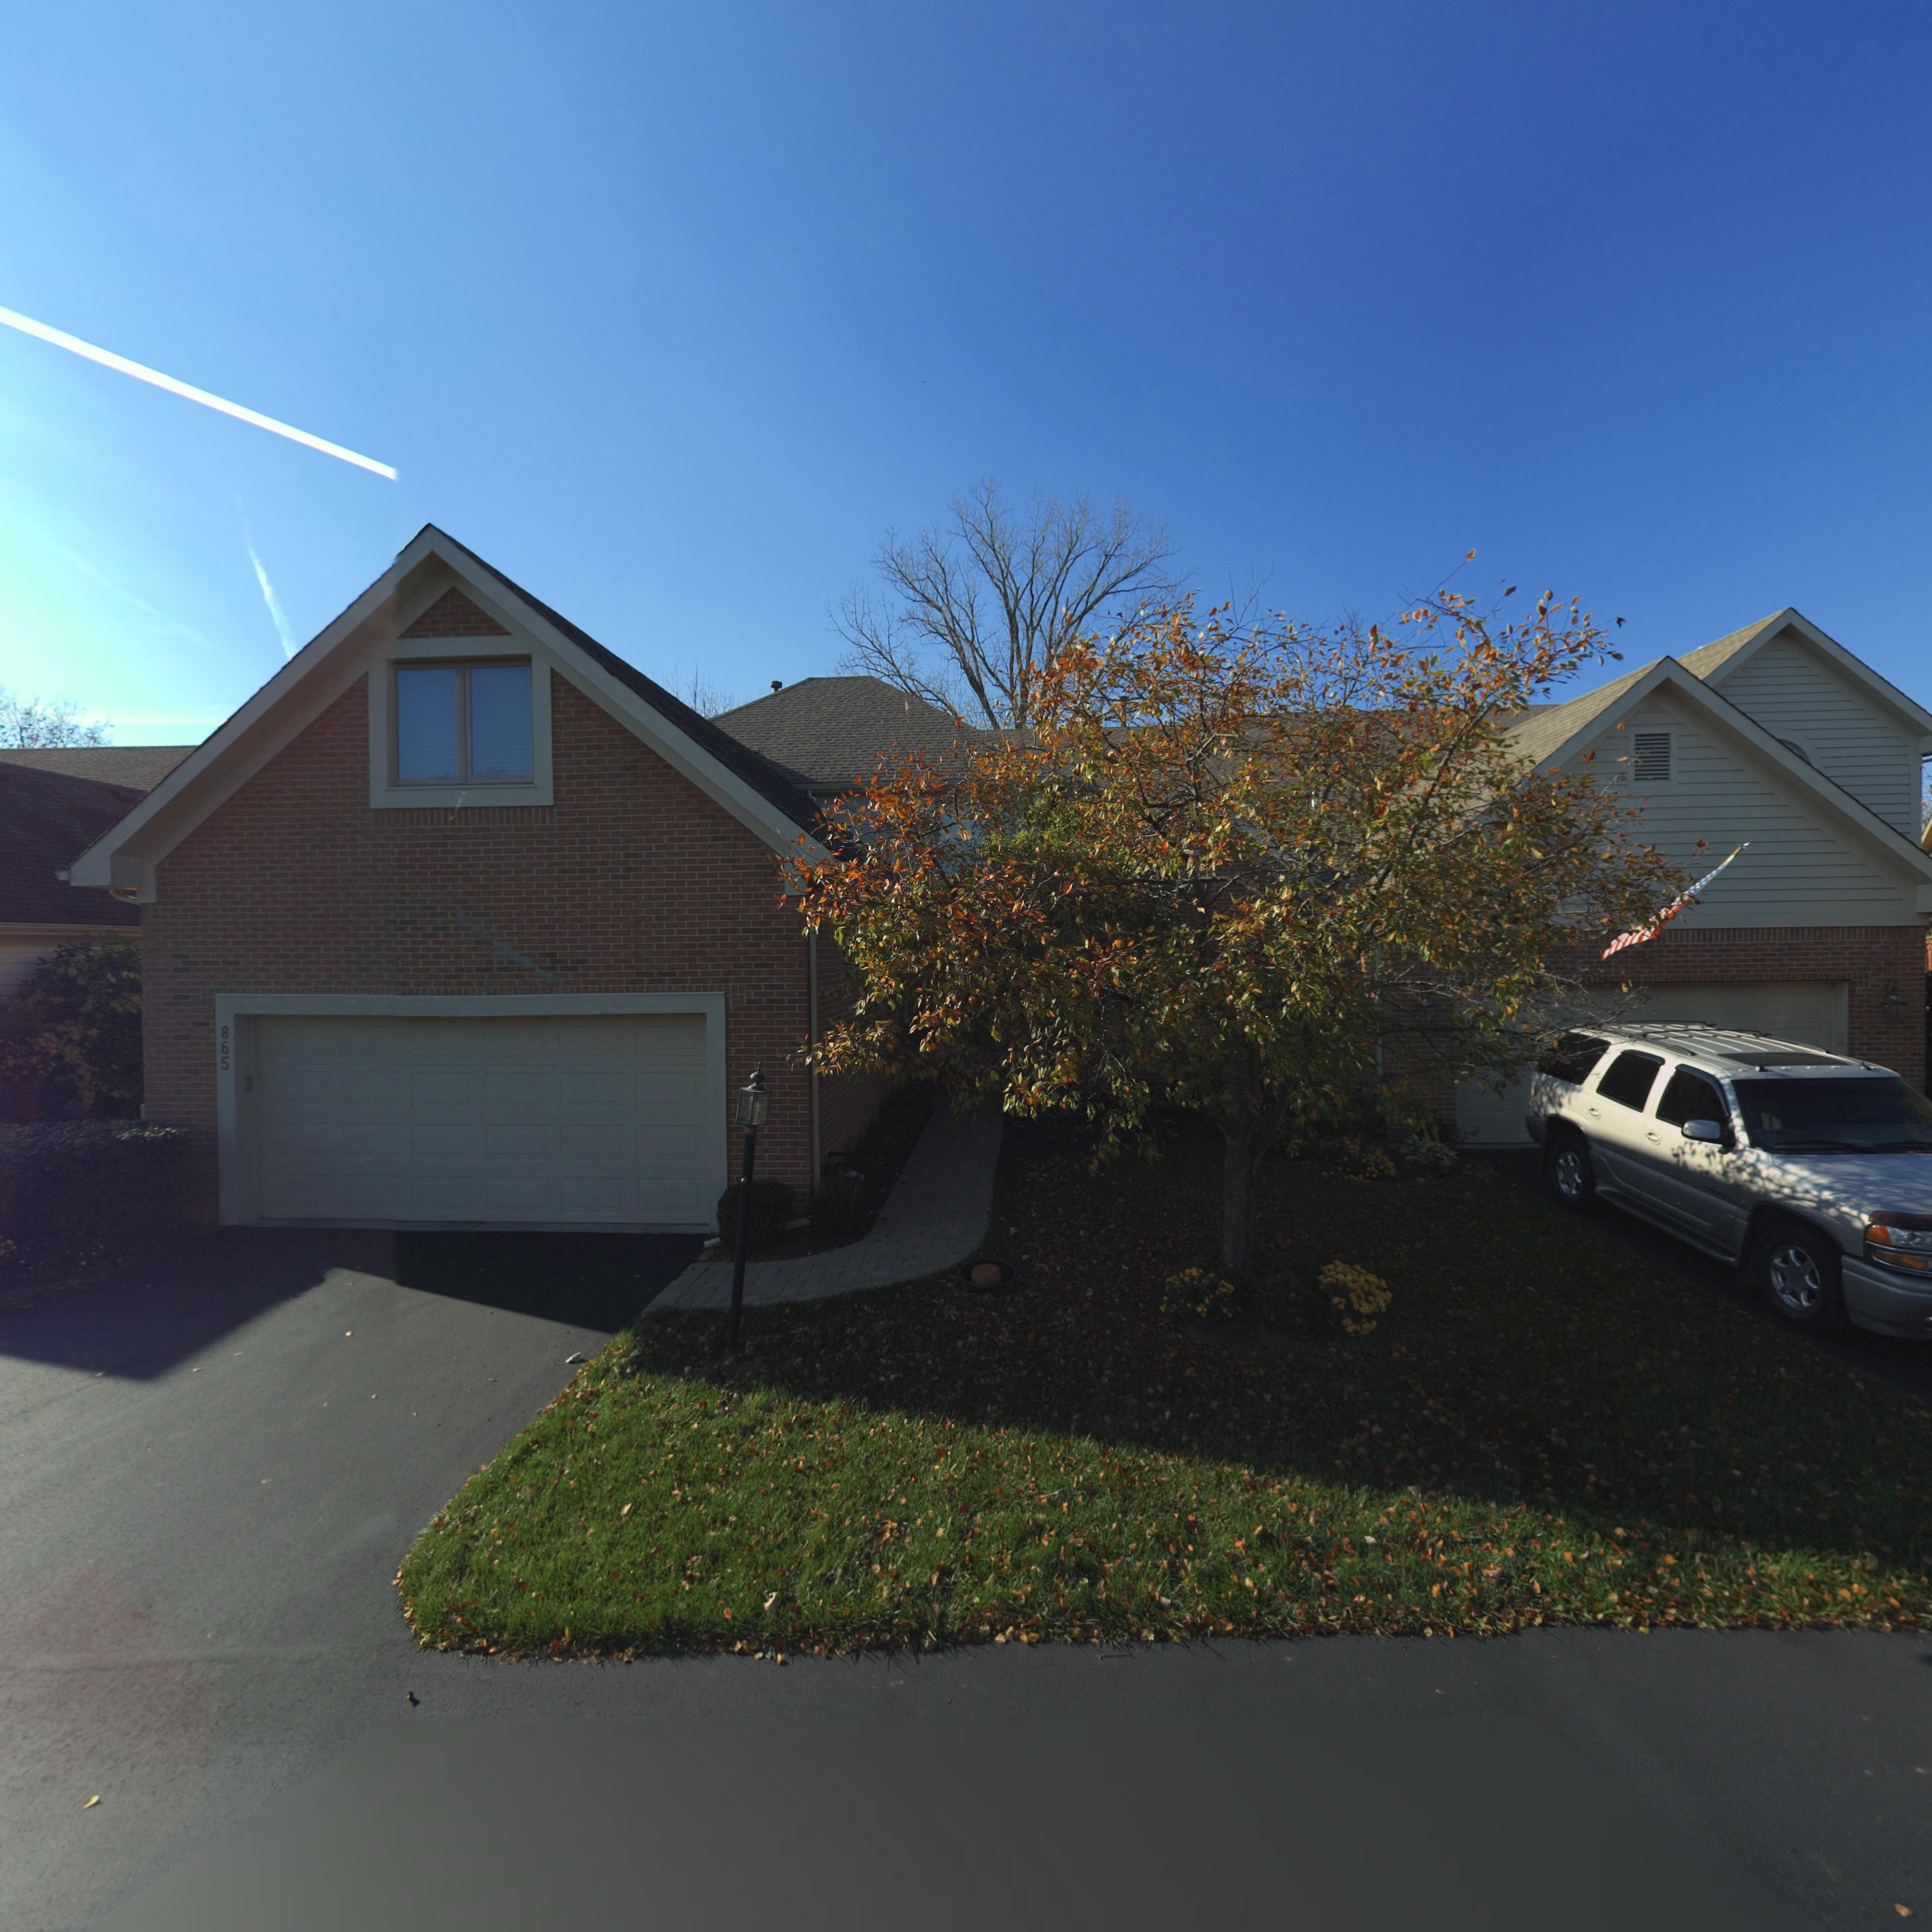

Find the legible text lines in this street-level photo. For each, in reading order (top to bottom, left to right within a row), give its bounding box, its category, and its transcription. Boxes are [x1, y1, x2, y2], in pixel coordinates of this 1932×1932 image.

[219, 1024, 230, 1072] StreetNumber: 865